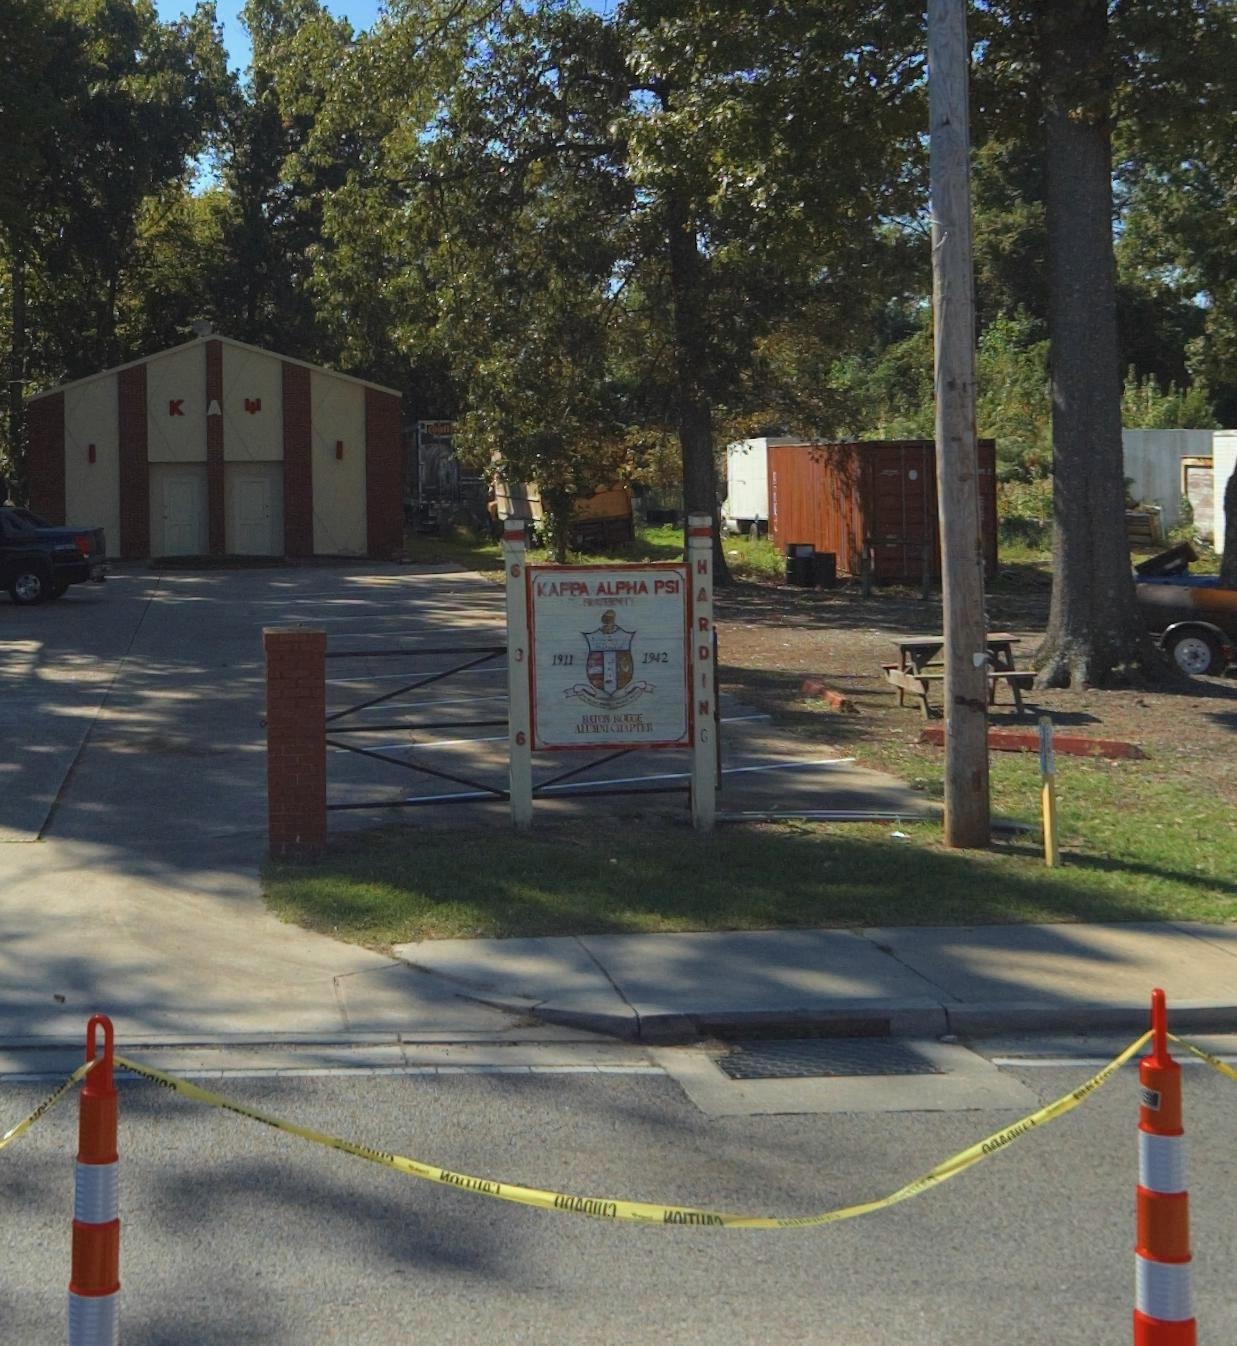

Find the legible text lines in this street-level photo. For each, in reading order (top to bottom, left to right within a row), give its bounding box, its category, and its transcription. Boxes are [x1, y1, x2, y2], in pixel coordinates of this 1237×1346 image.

[168, 399, 223, 417] None: K A
[536, 580, 682, 597] BusinessName: KAPPA ALPHA PSI
[579, 595, 638, 609] None: FRATERNITY
[510, 562, 527, 748] StreetNumber: 636
[551, 653, 575, 668] None: 1911
[640, 651, 670, 665] None: 1942
[696, 559, 711, 744] StreetName: HARDING
[582, 712, 644, 724] None: BATON ROUGE
[574, 723, 656, 733] None: ALUMNI CHAPTER